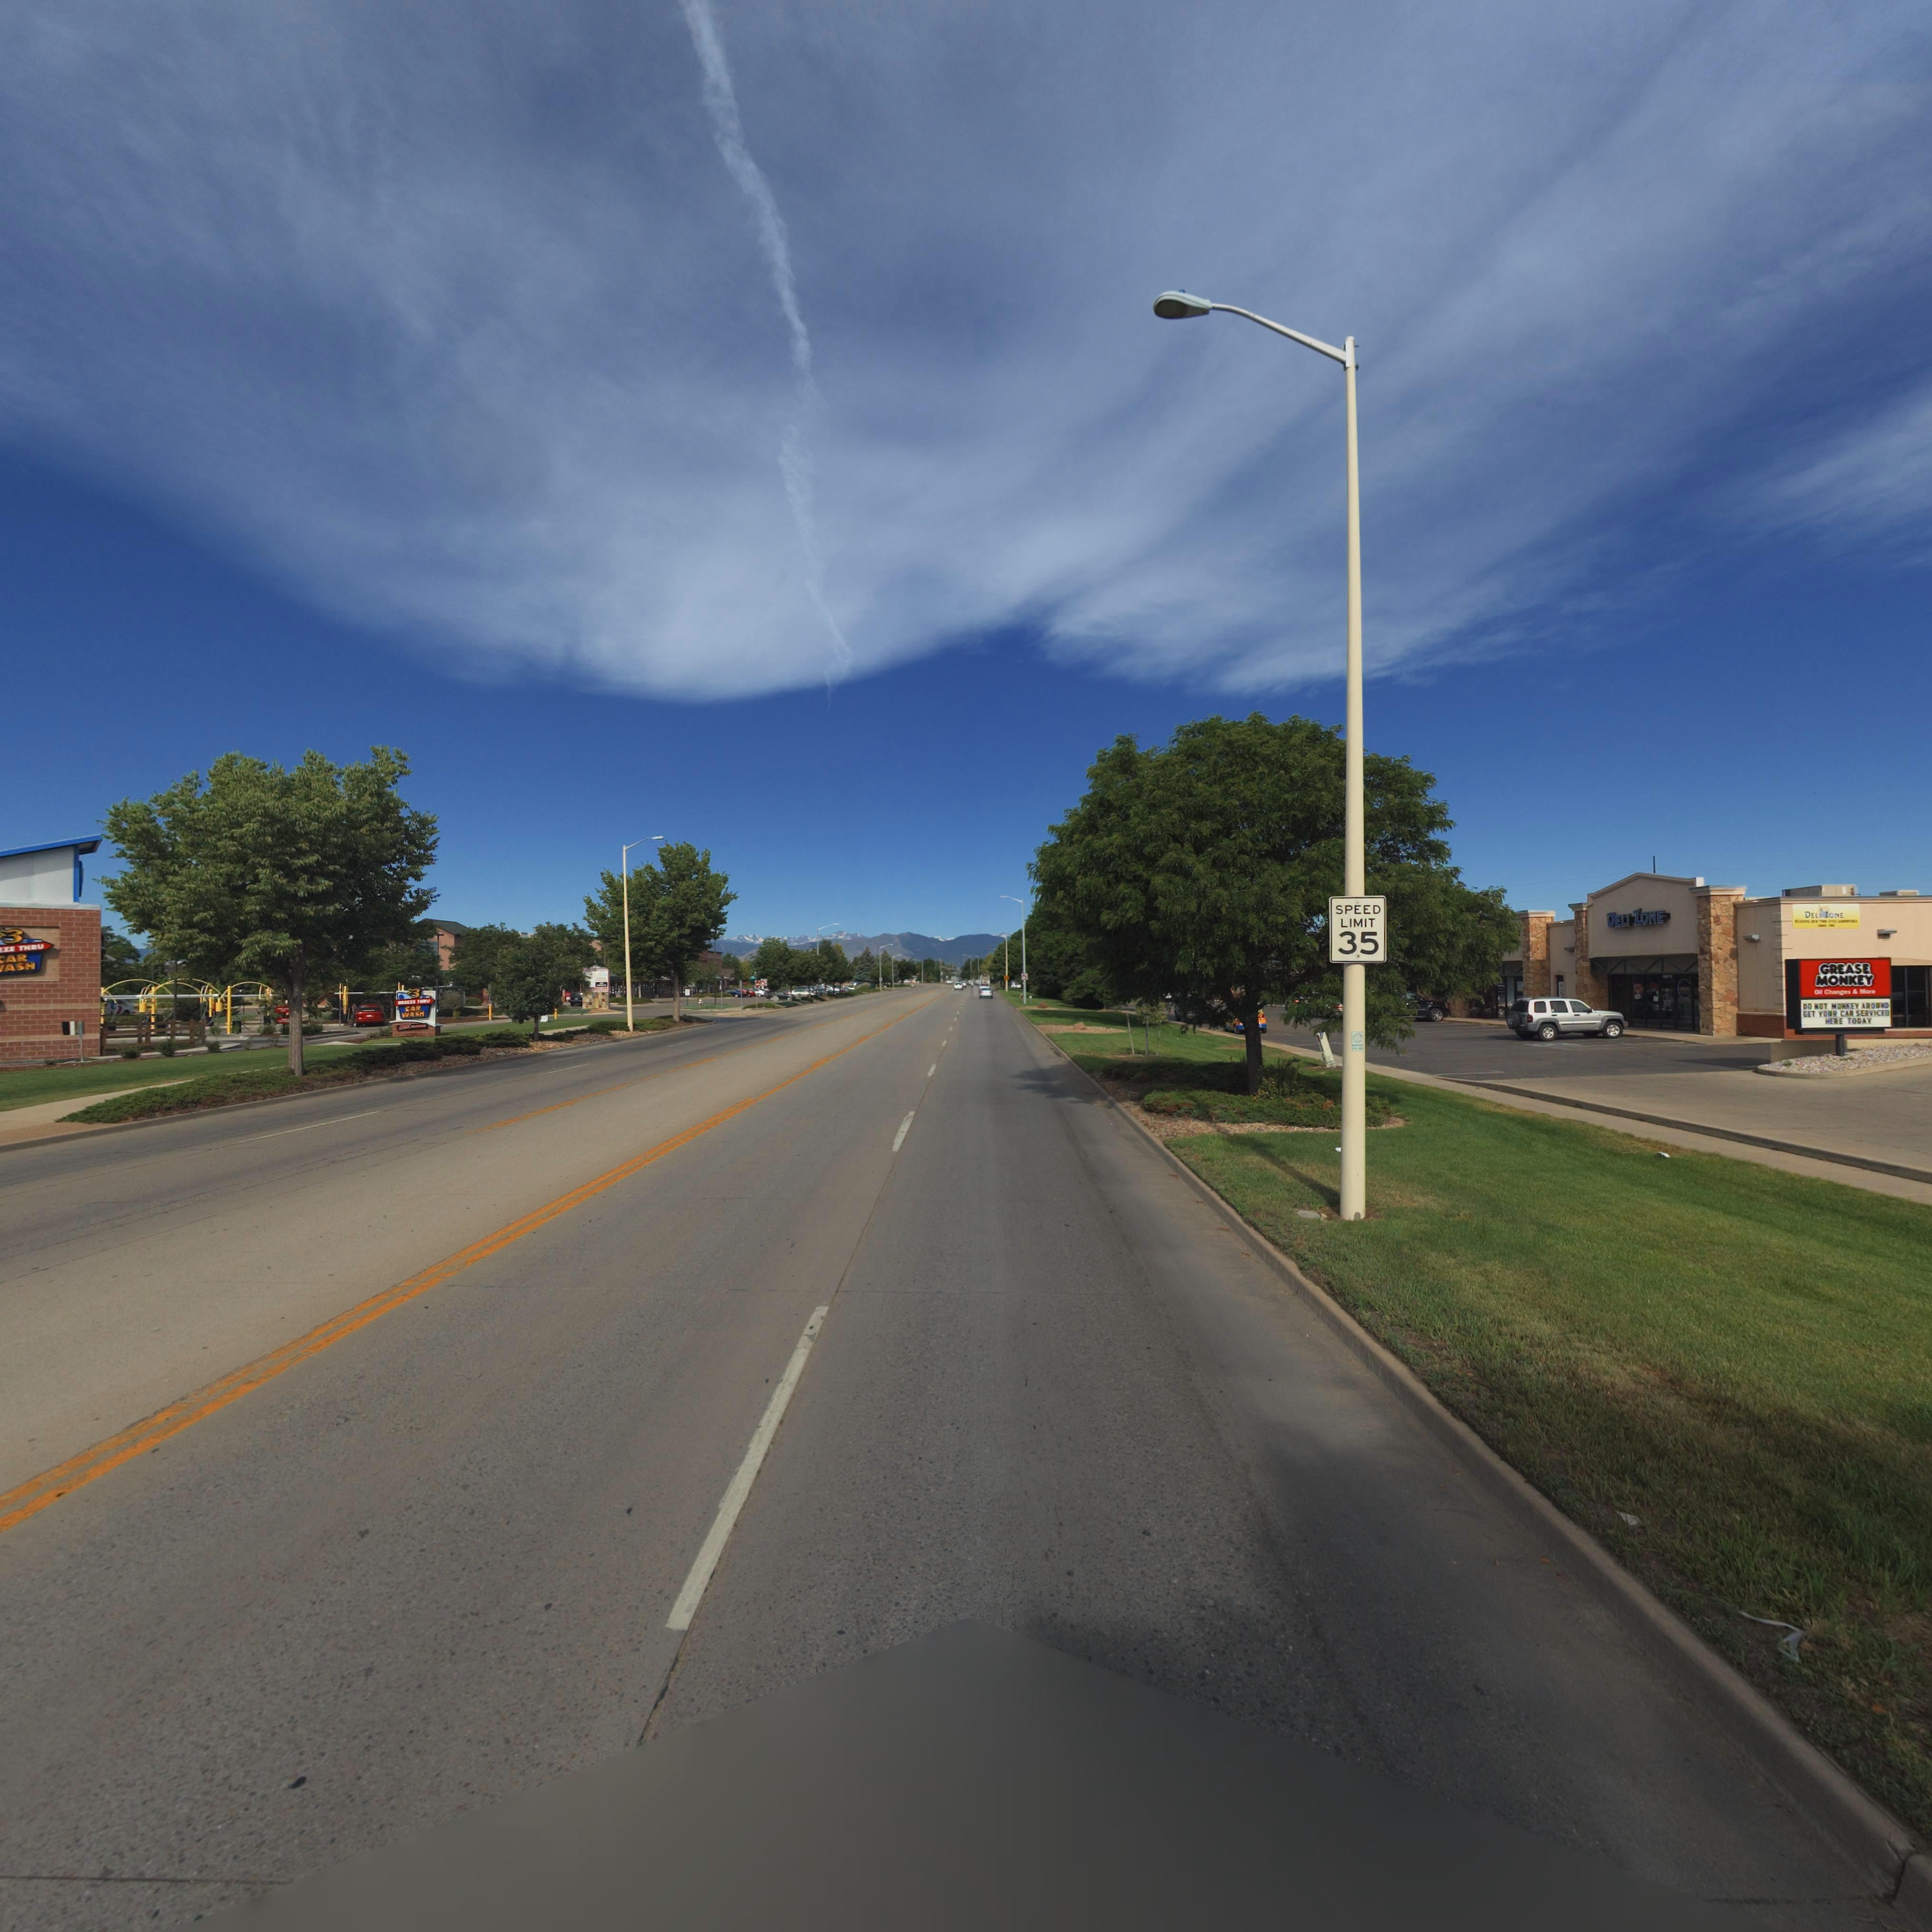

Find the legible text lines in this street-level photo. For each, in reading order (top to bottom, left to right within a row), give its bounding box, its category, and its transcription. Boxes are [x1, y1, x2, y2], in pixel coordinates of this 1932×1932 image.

[1606, 908, 1663, 928] BusinessName: DELI ZONE
[1804, 910, 1844, 918] BusinessName: DELI ZONE
[3, 943, 44, 952] BusinessName: ZE THRU
[4, 953, 29, 963] BusinessName: AR
[3, 961, 35, 972] BusinessName: ASH
[1819, 963, 1870, 974] BusinessName: GREASE
[1662, 975, 1672, 978] StreetNumber: 12*0*
[1816, 974, 1874, 985] BusinessName: MONKEY
[397, 999, 430, 1005] BusinessName: *R**Z* T**U
[404, 1005, 421, 1012] BusinessName: CAR
[402, 1011, 425, 1017] BusinessName: WASH